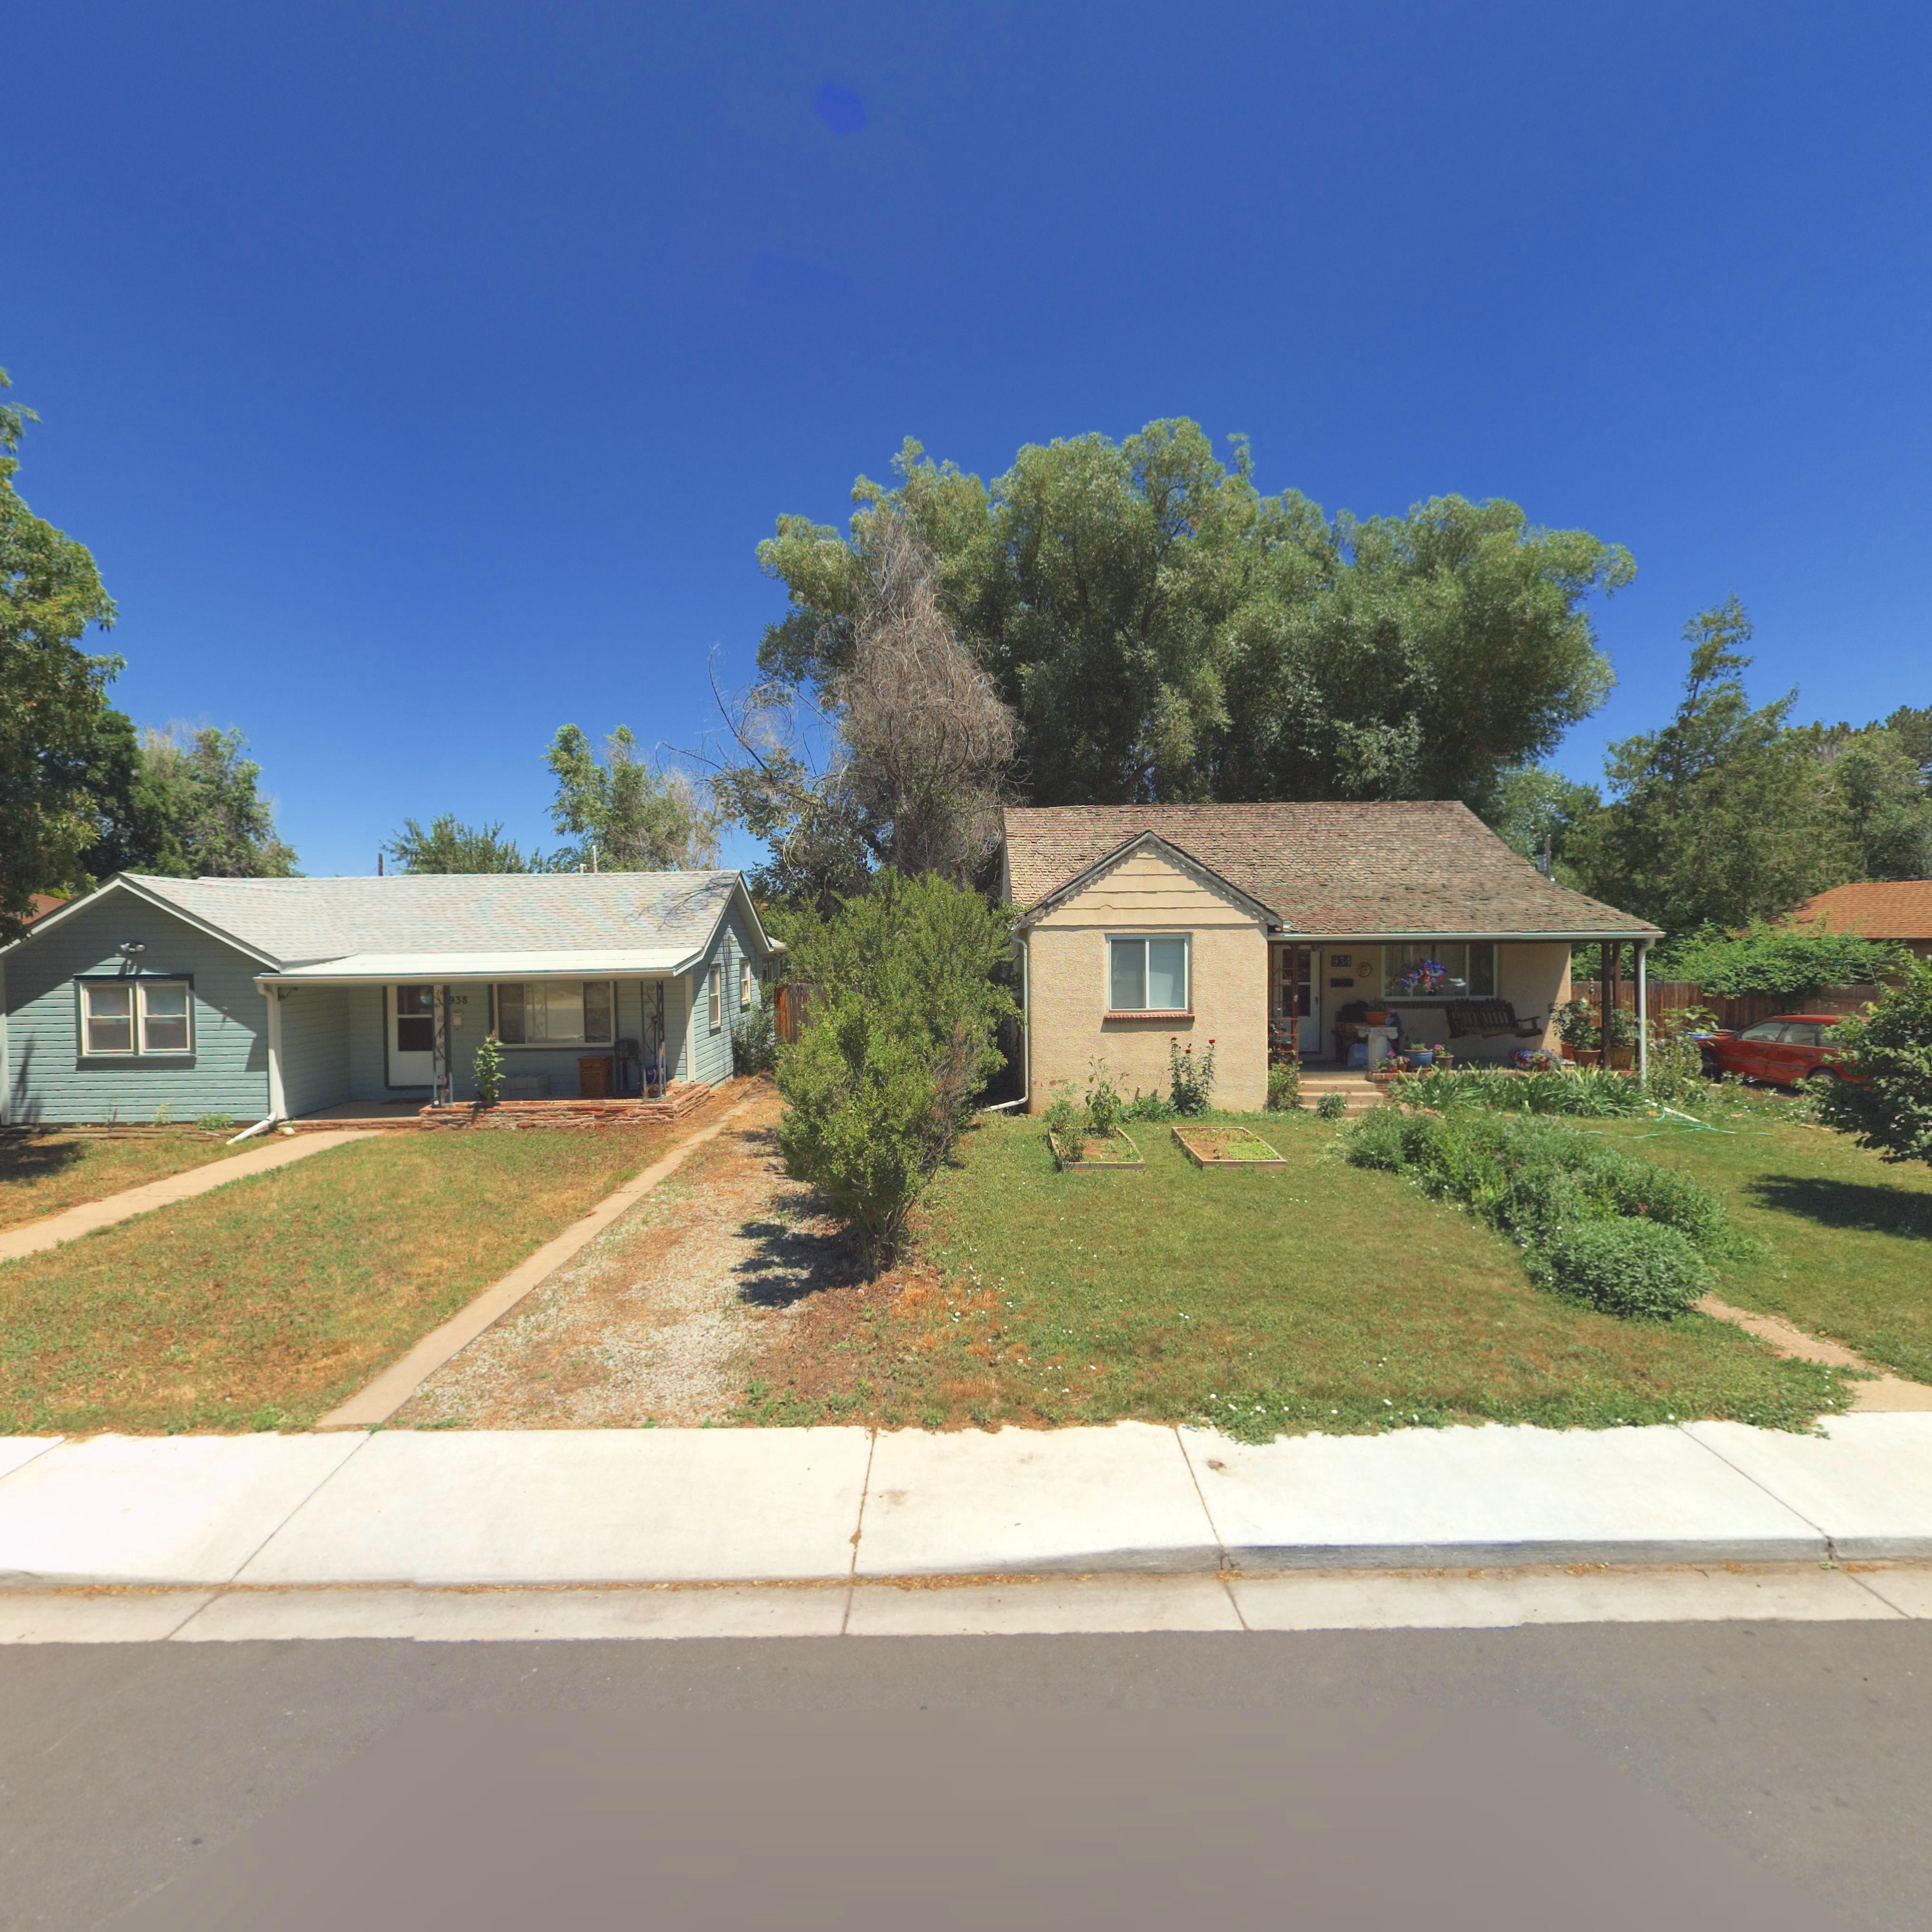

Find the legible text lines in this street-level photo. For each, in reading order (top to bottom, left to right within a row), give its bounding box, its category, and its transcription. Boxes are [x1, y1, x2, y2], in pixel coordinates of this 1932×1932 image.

[1333, 956, 1351, 966] StreetNumber: 934
[450, 995, 467, 1004] StreetNumber: *38